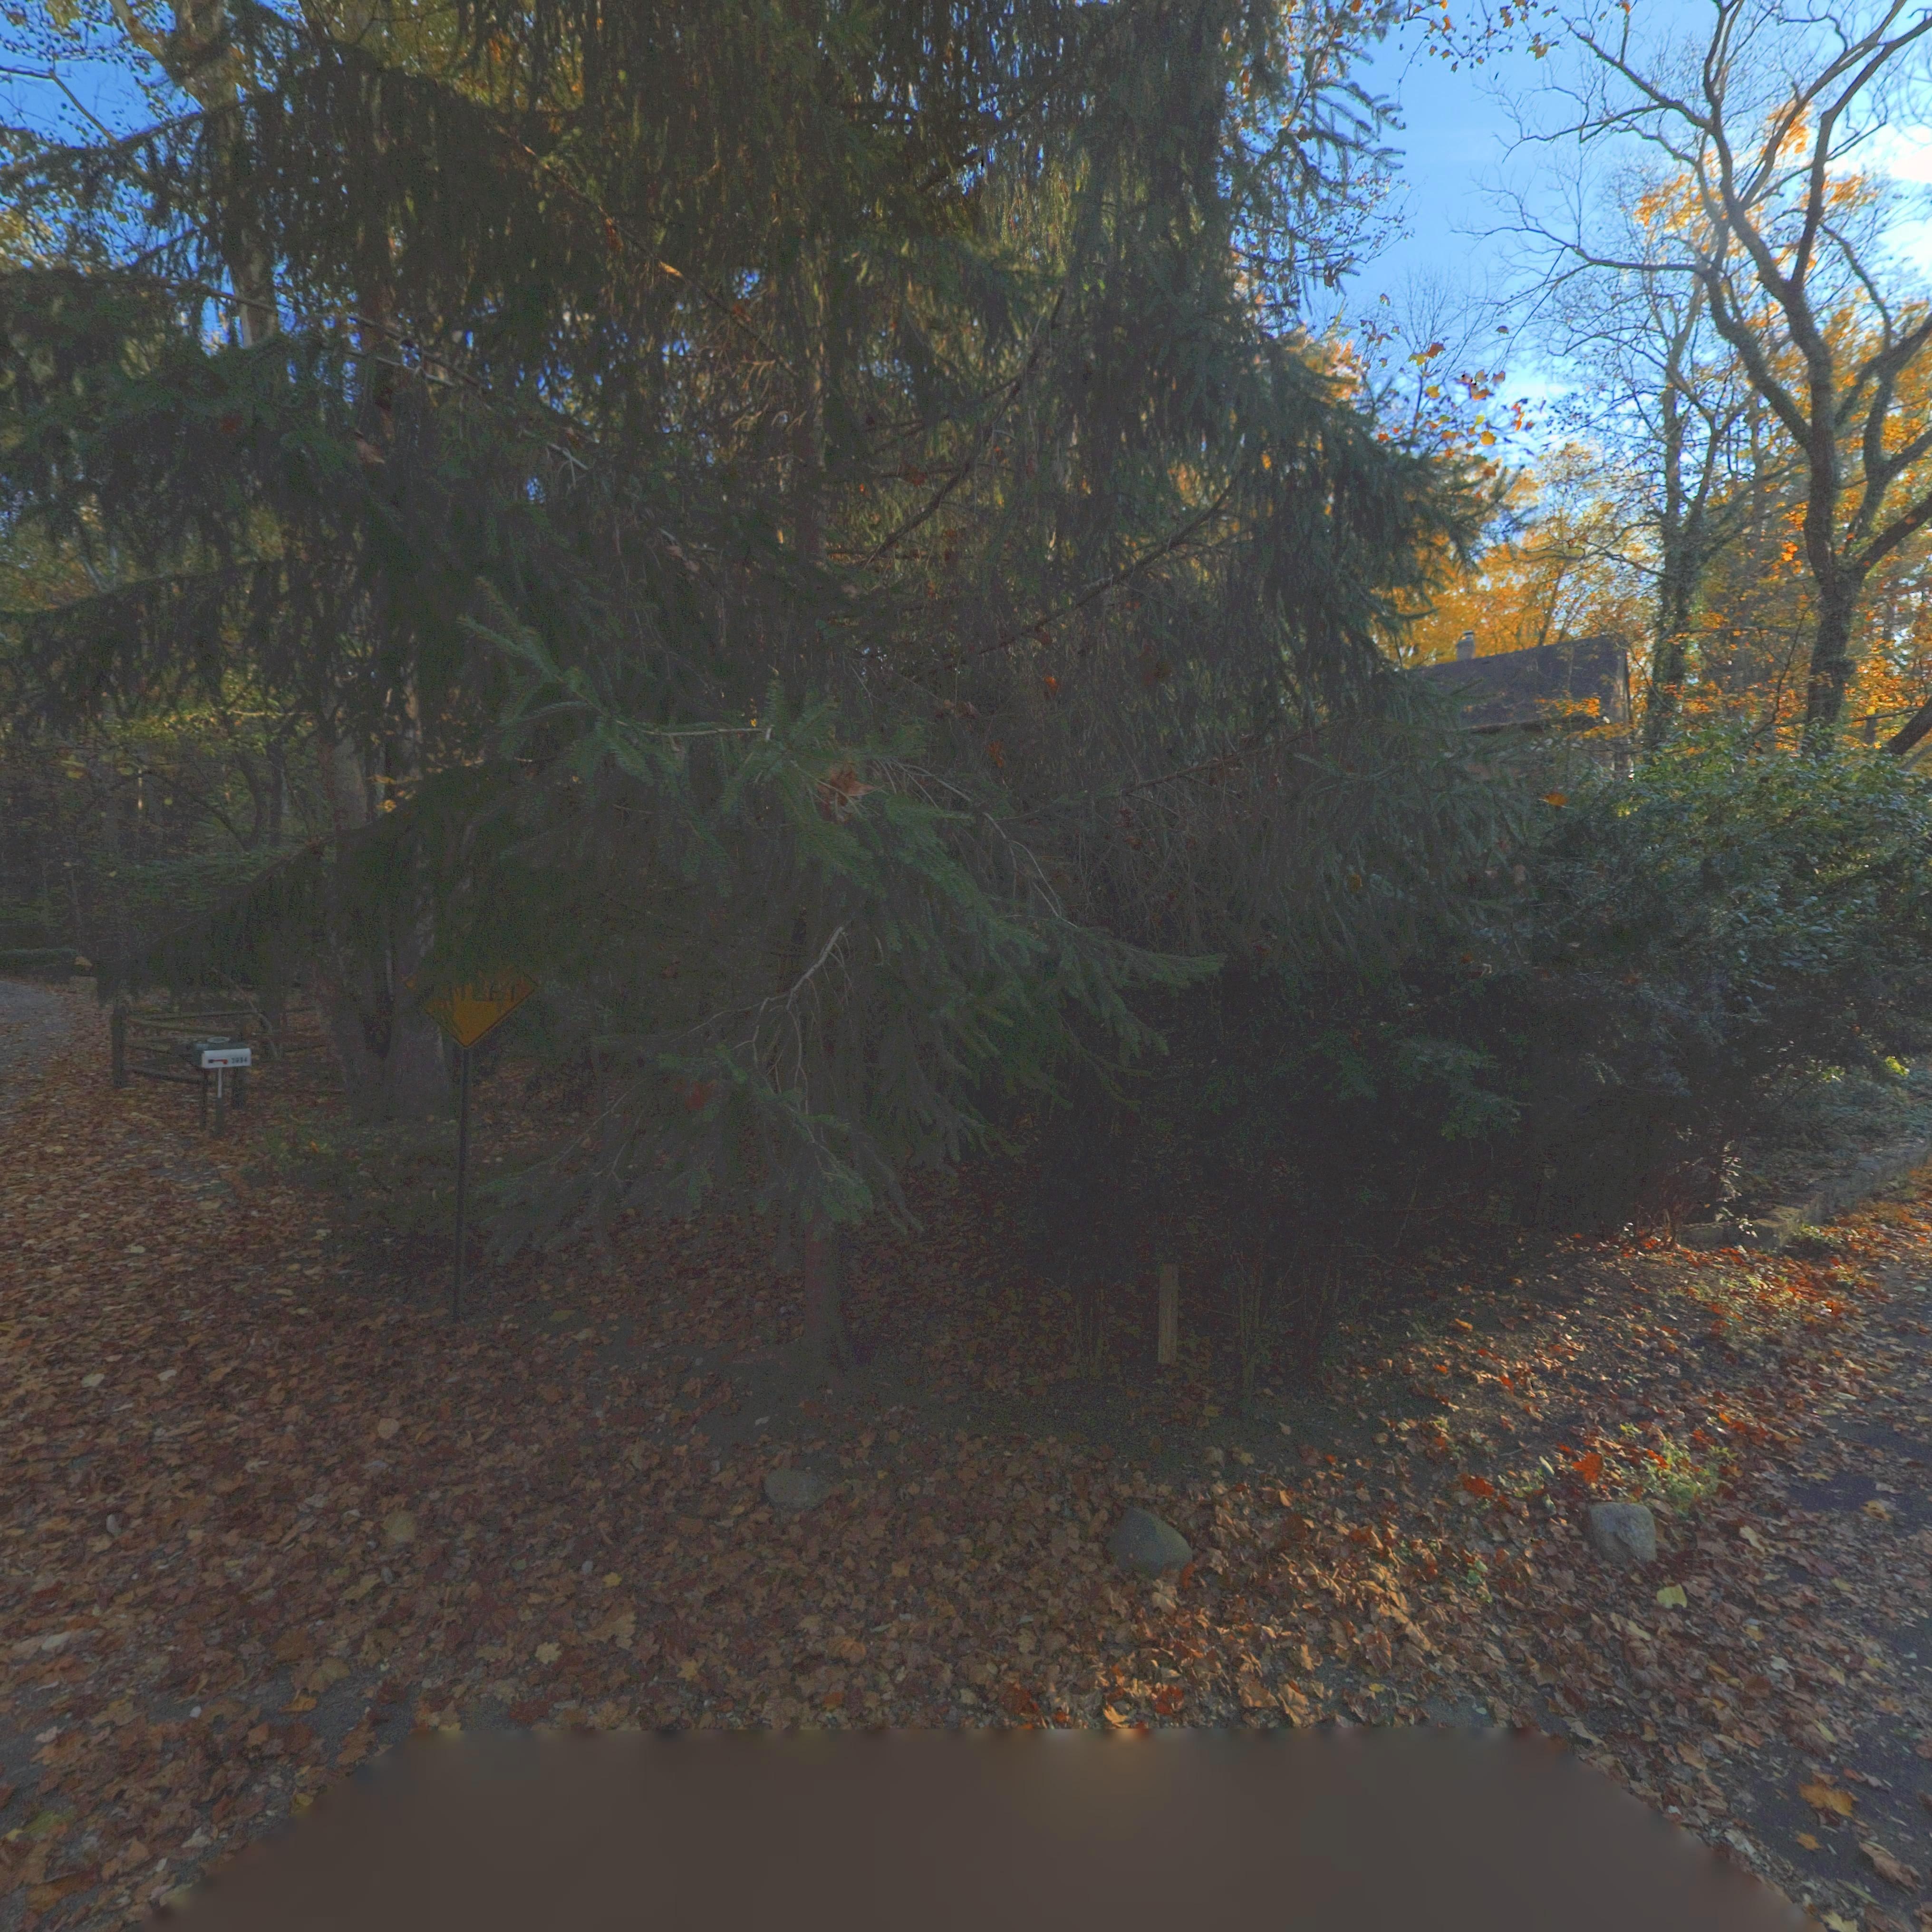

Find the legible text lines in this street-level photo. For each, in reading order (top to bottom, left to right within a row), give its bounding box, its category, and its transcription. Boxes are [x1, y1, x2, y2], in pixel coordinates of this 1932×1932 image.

[231, 1056, 248, 1064] StreetNumber: 3954